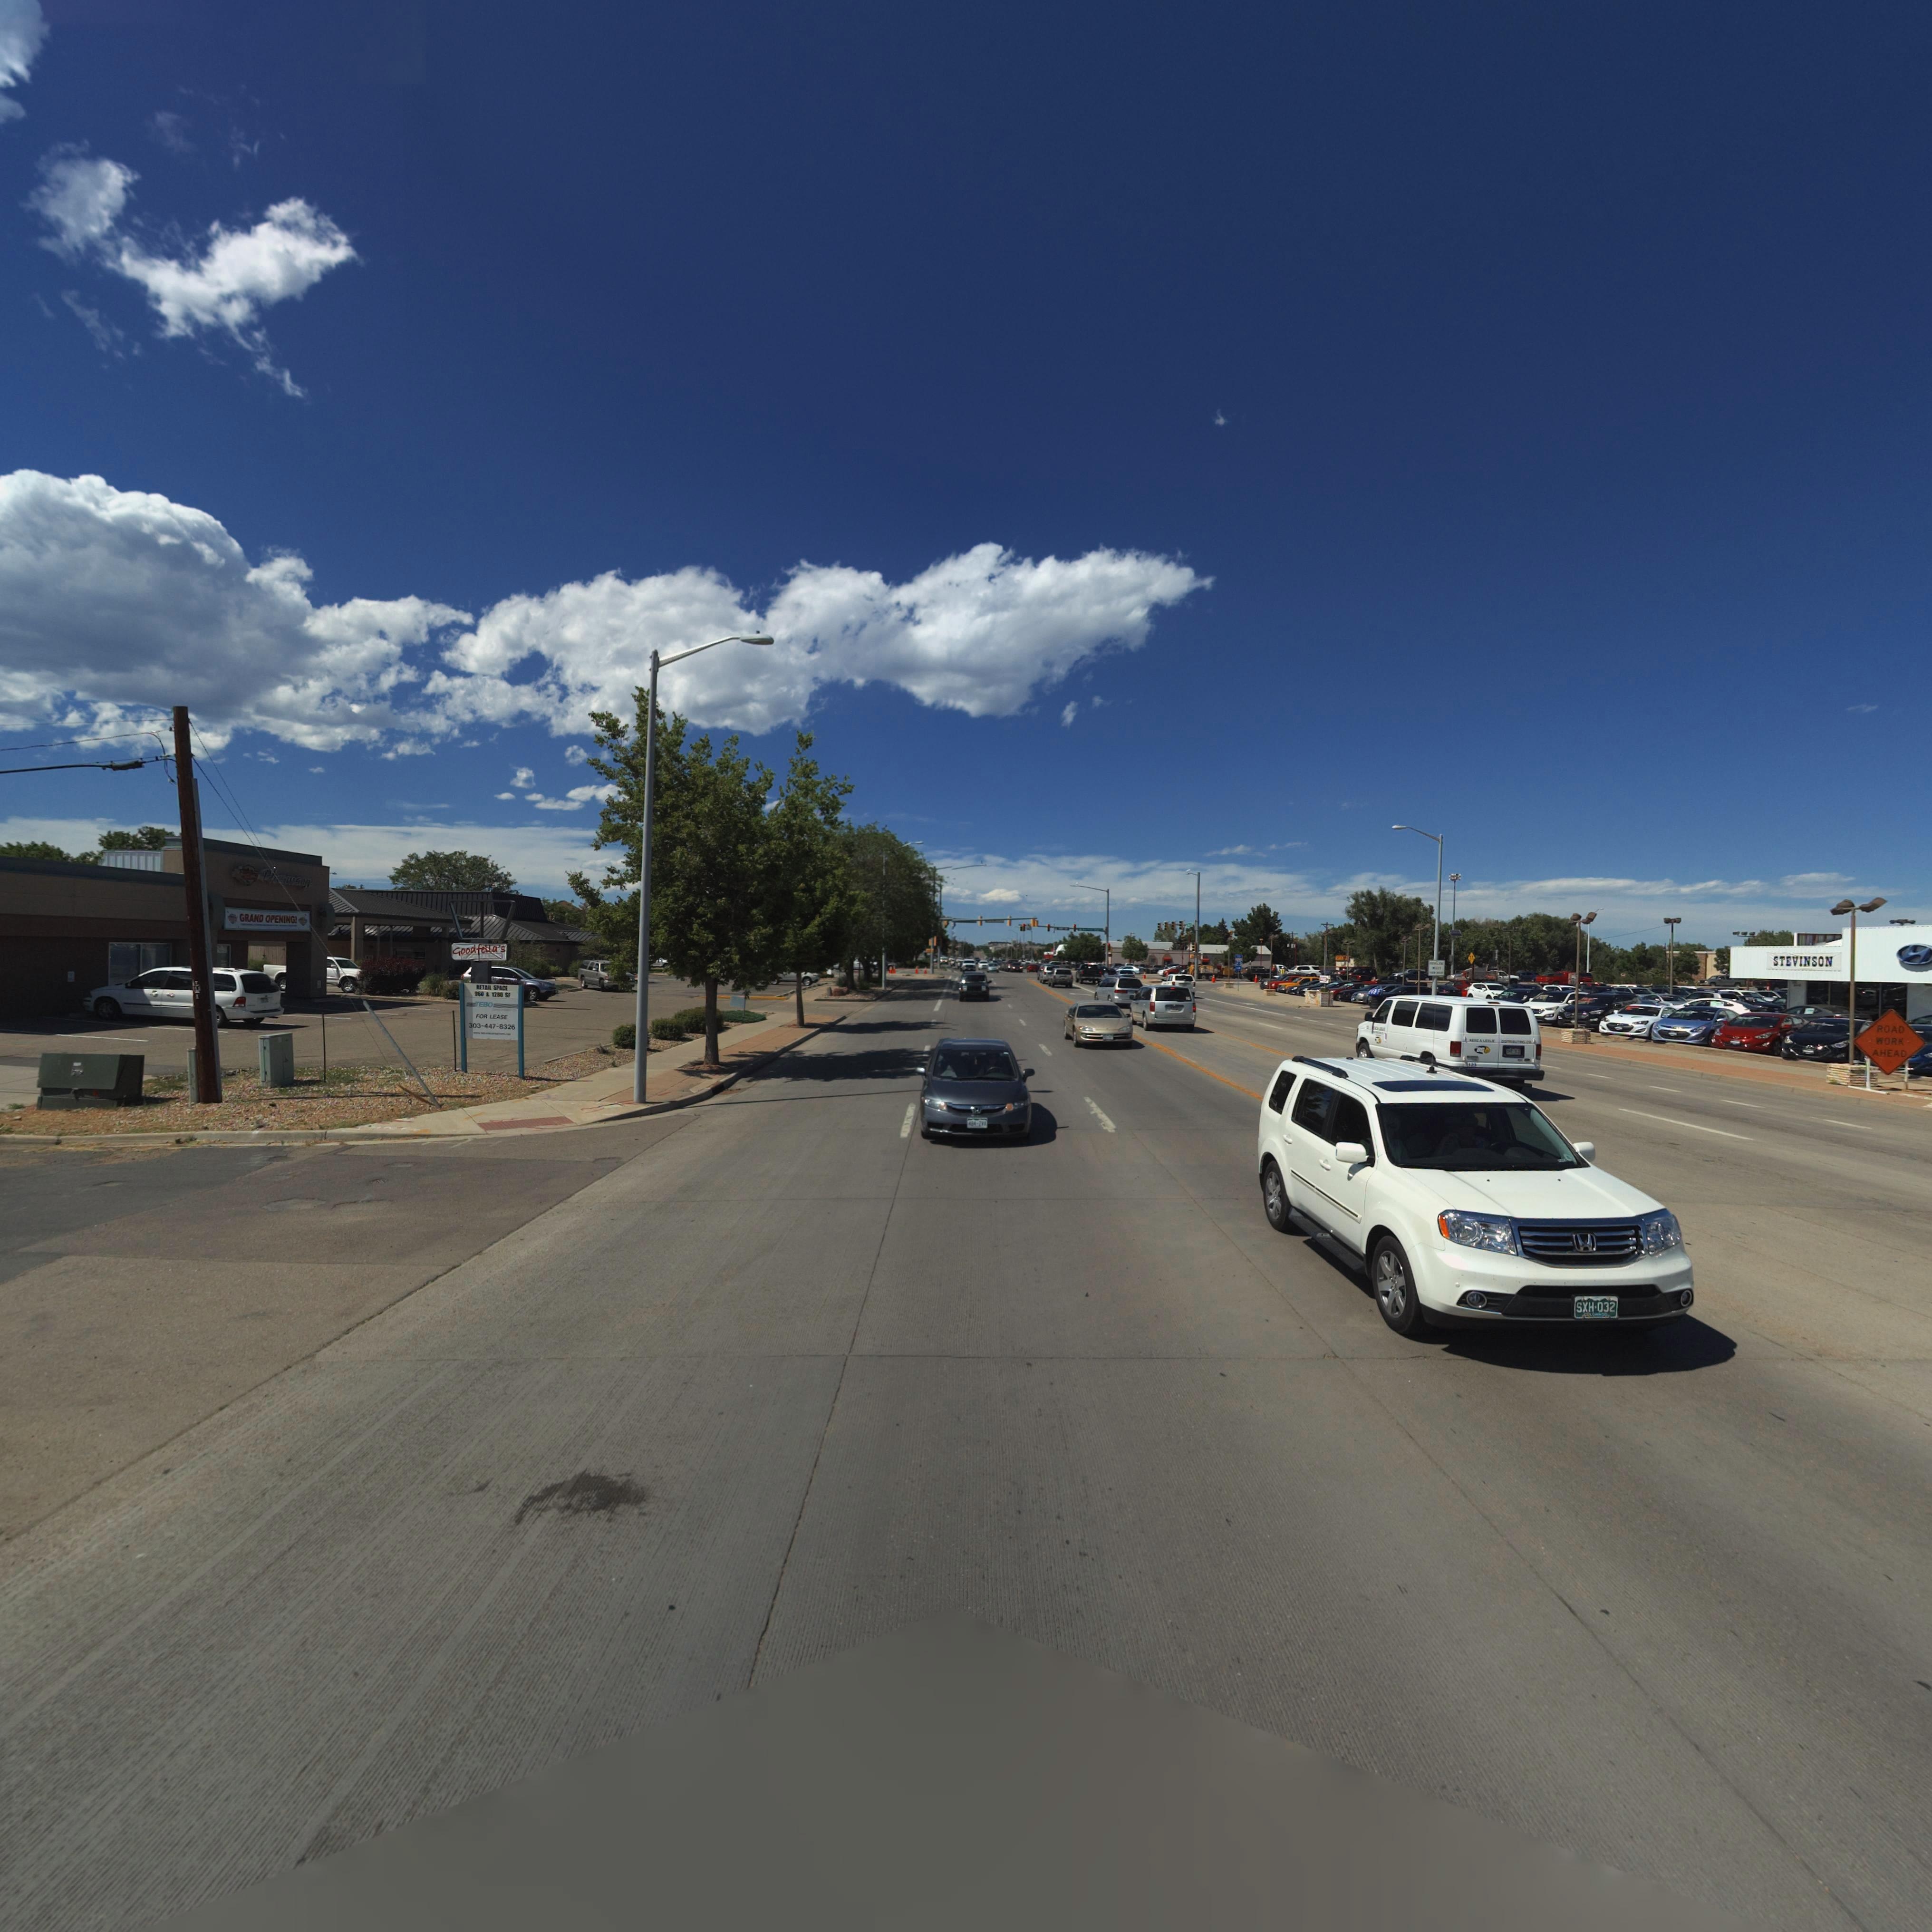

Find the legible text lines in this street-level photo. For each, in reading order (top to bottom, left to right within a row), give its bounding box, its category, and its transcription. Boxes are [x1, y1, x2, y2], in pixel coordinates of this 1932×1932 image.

[259, 866, 312, 889] BusinessName: Pharmacy
[452, 943, 505, 956] BusinessName: Goodfella's
[1774, 956, 1833, 966] BusinessName: STEVINSON